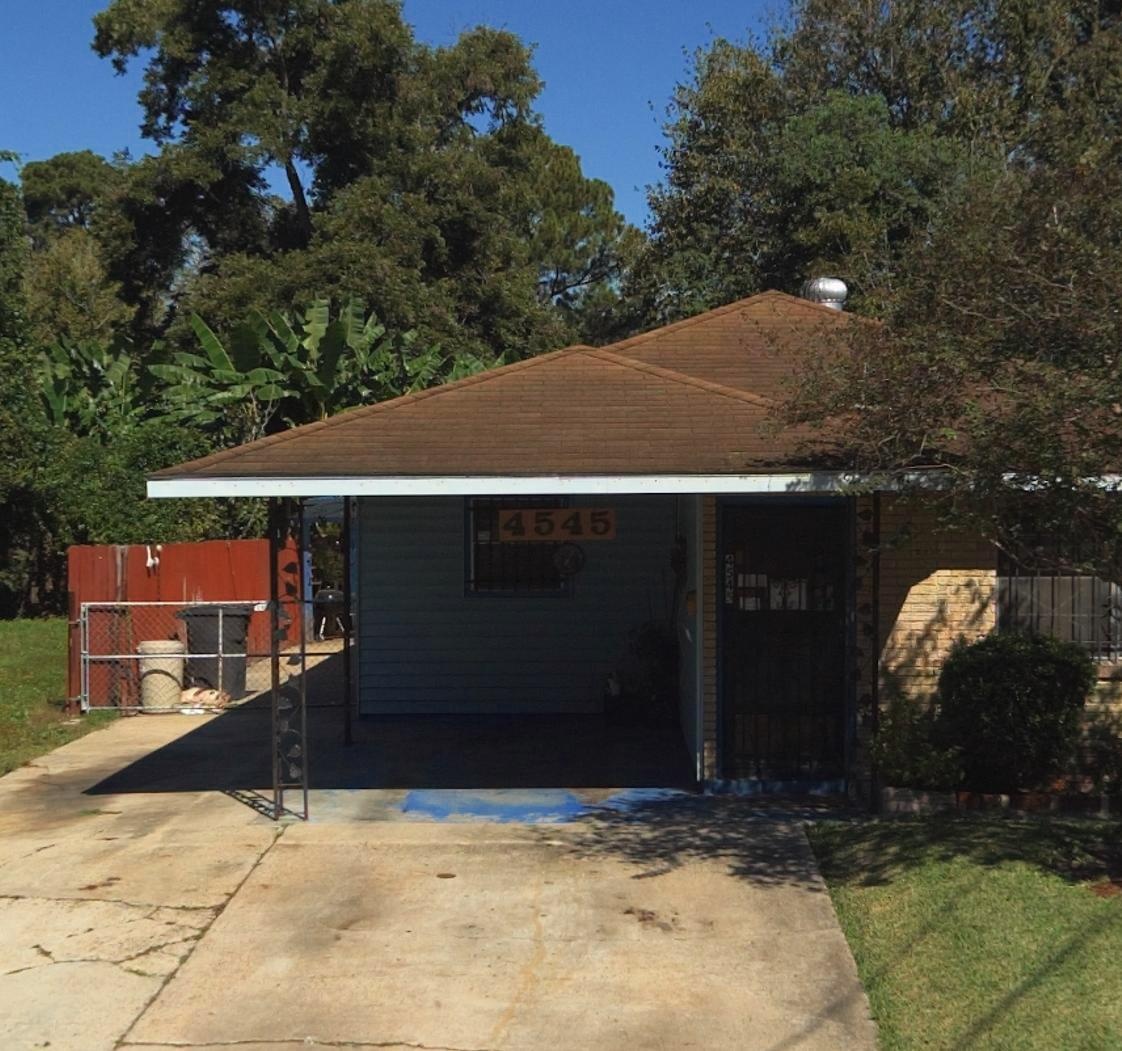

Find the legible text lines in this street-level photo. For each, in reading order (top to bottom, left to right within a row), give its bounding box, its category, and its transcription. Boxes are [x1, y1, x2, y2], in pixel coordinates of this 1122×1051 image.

[500, 510, 613, 536] StreetNumber: 4545
[725, 555, 734, 604] StreetNumber: 4545